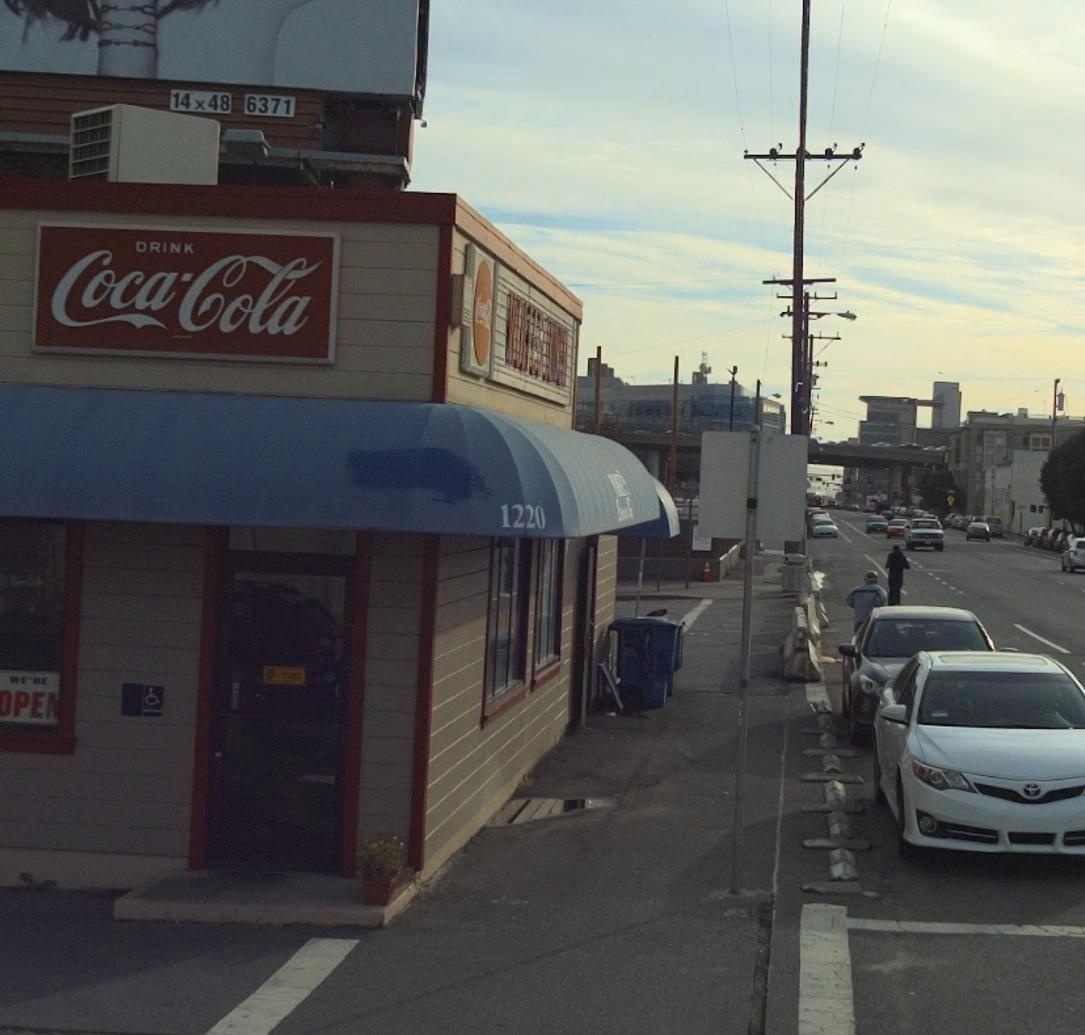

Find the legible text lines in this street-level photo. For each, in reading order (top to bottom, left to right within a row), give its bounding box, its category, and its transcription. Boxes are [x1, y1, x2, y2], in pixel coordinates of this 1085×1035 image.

[169, 90, 233, 114] None: 14 X 48
[244, 94, 293, 117] None: 6371
[134, 238, 197, 256] None: DRINK
[47, 245, 323, 338] None: Coca-Cola
[499, 501, 549, 532] StreetNumber: 1220
[6, 674, 52, 687] None: W*'**
[10, 689, 47, 720] None: PE